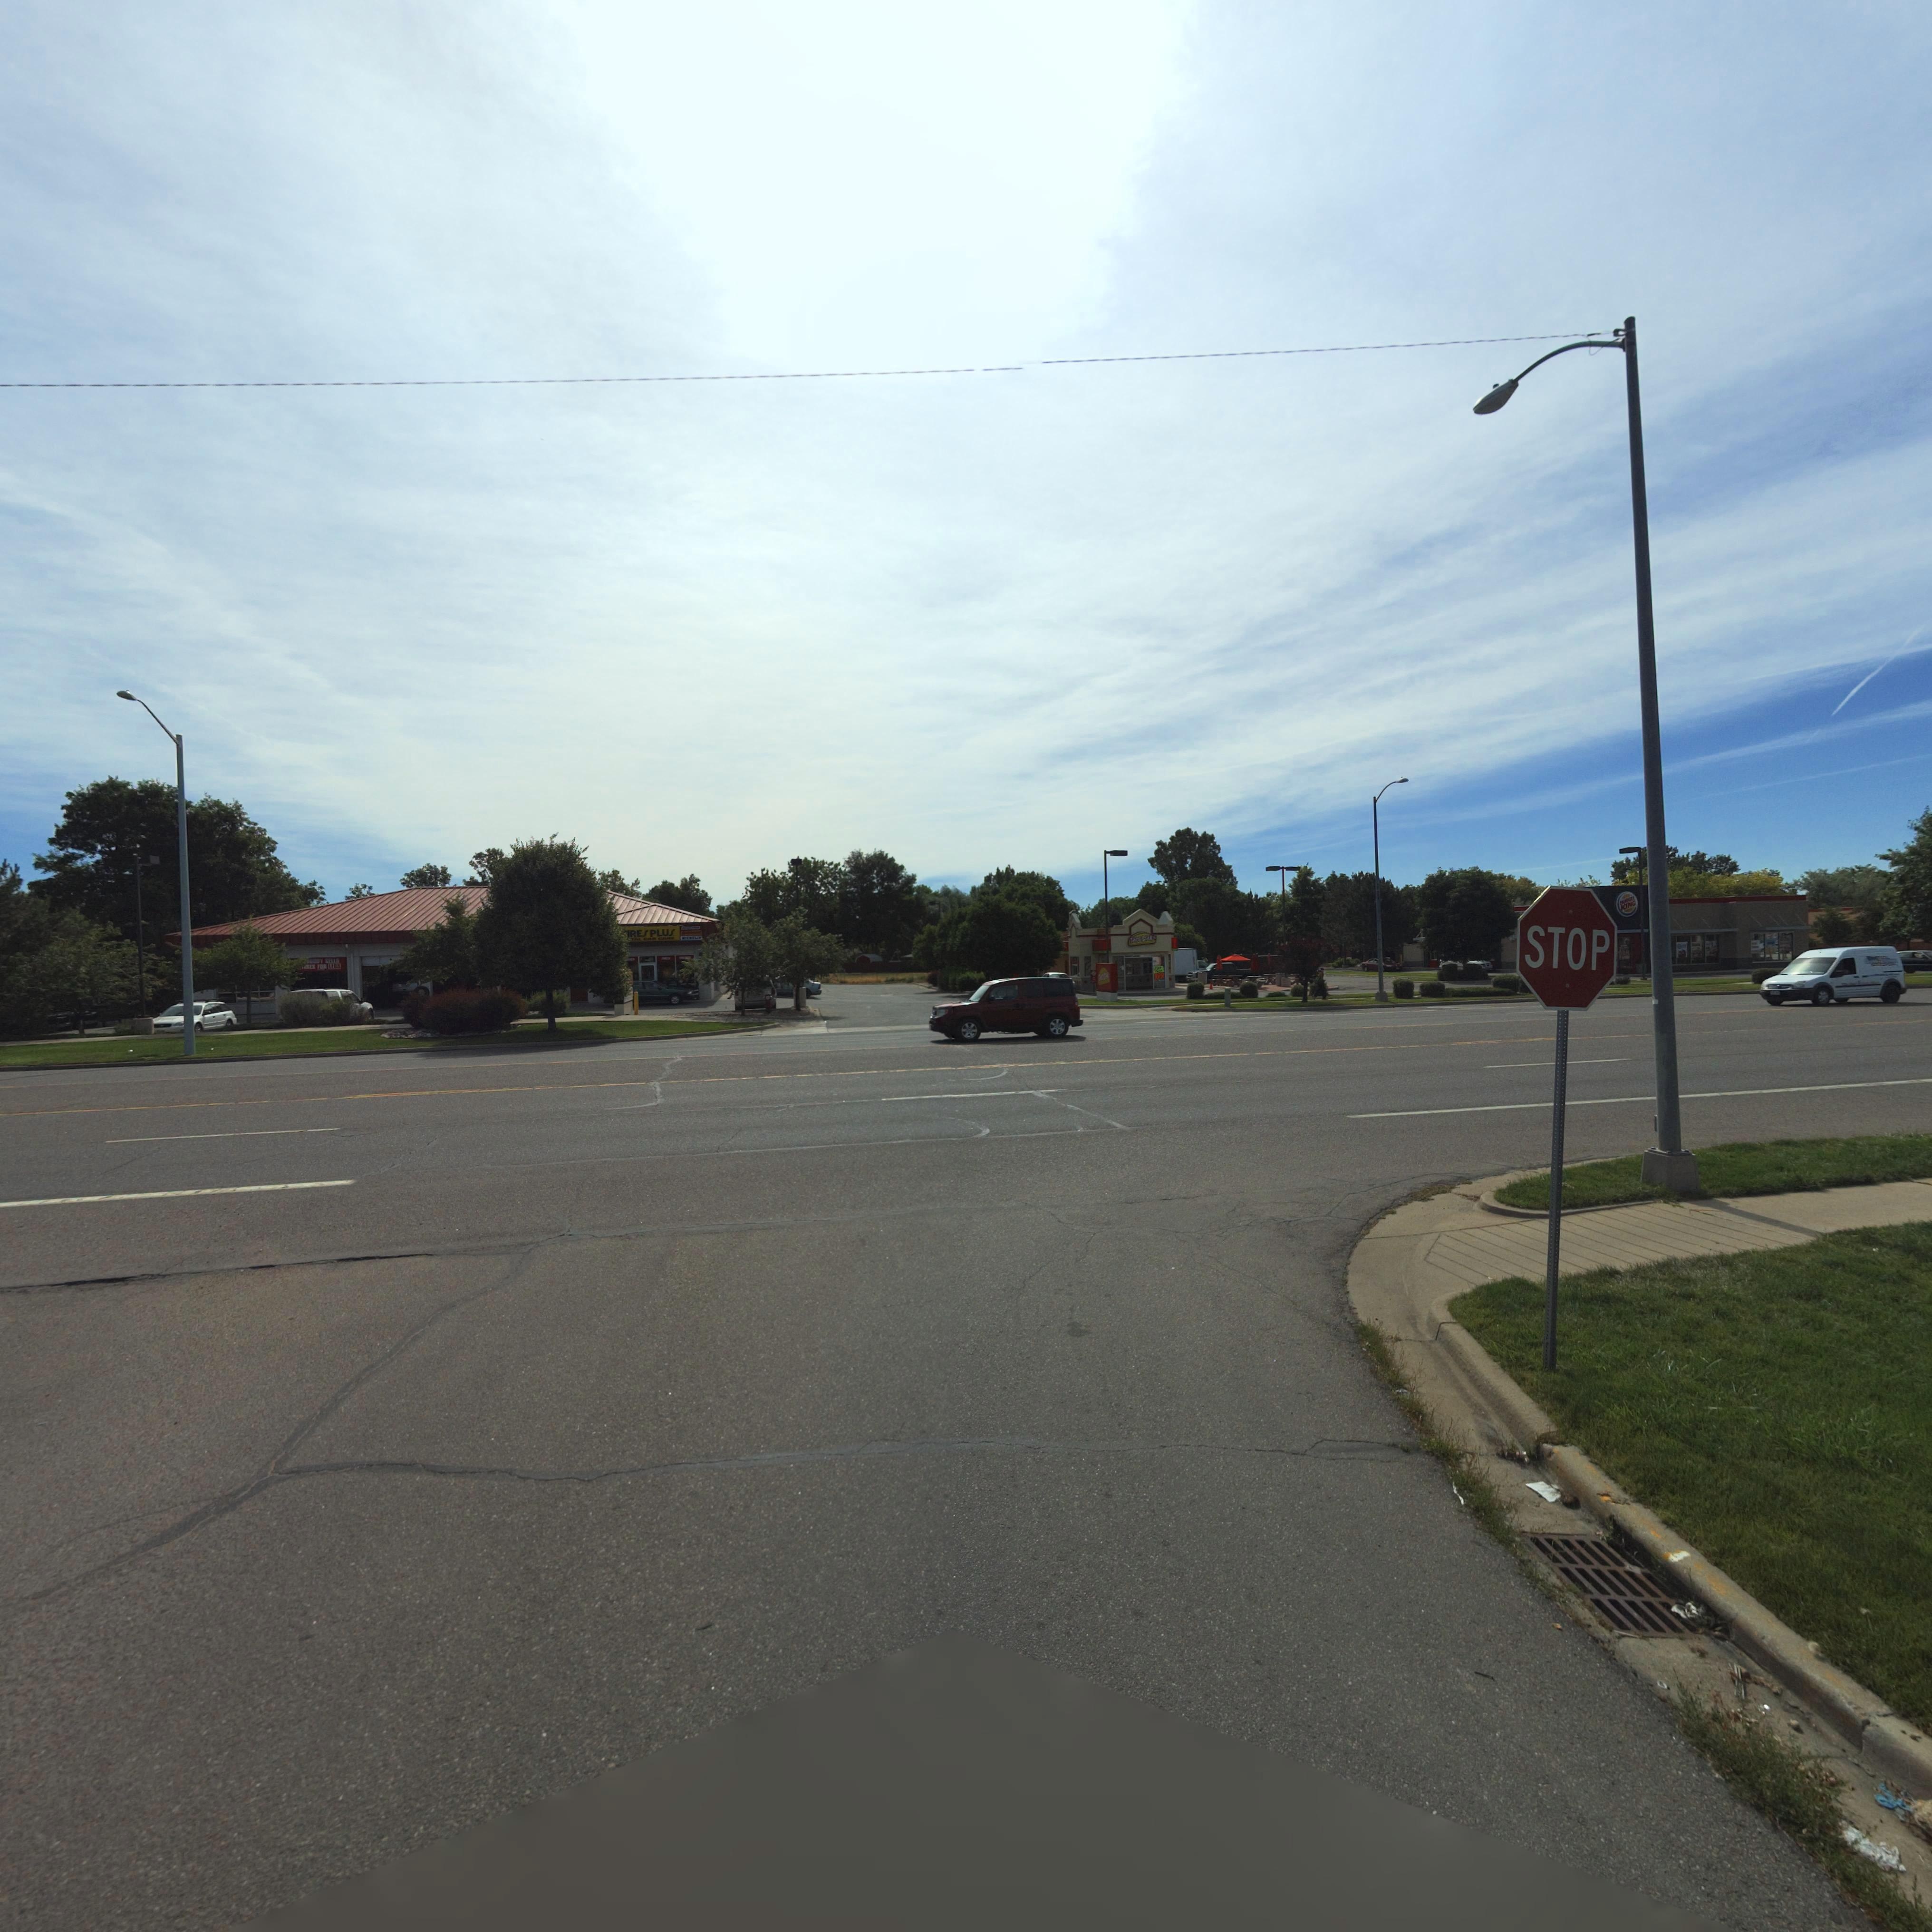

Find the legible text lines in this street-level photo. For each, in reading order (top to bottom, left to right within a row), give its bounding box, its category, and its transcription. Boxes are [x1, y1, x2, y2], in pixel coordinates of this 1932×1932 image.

[1619, 896, 1635, 905] BusinessName: BUR**R
[1621, 899, 1636, 910] BusinessName: KING
[627, 928, 675, 938] StreetNumber: IRES PLUS
[1130, 935, 1156, 943] BusinessName: TACO ST**